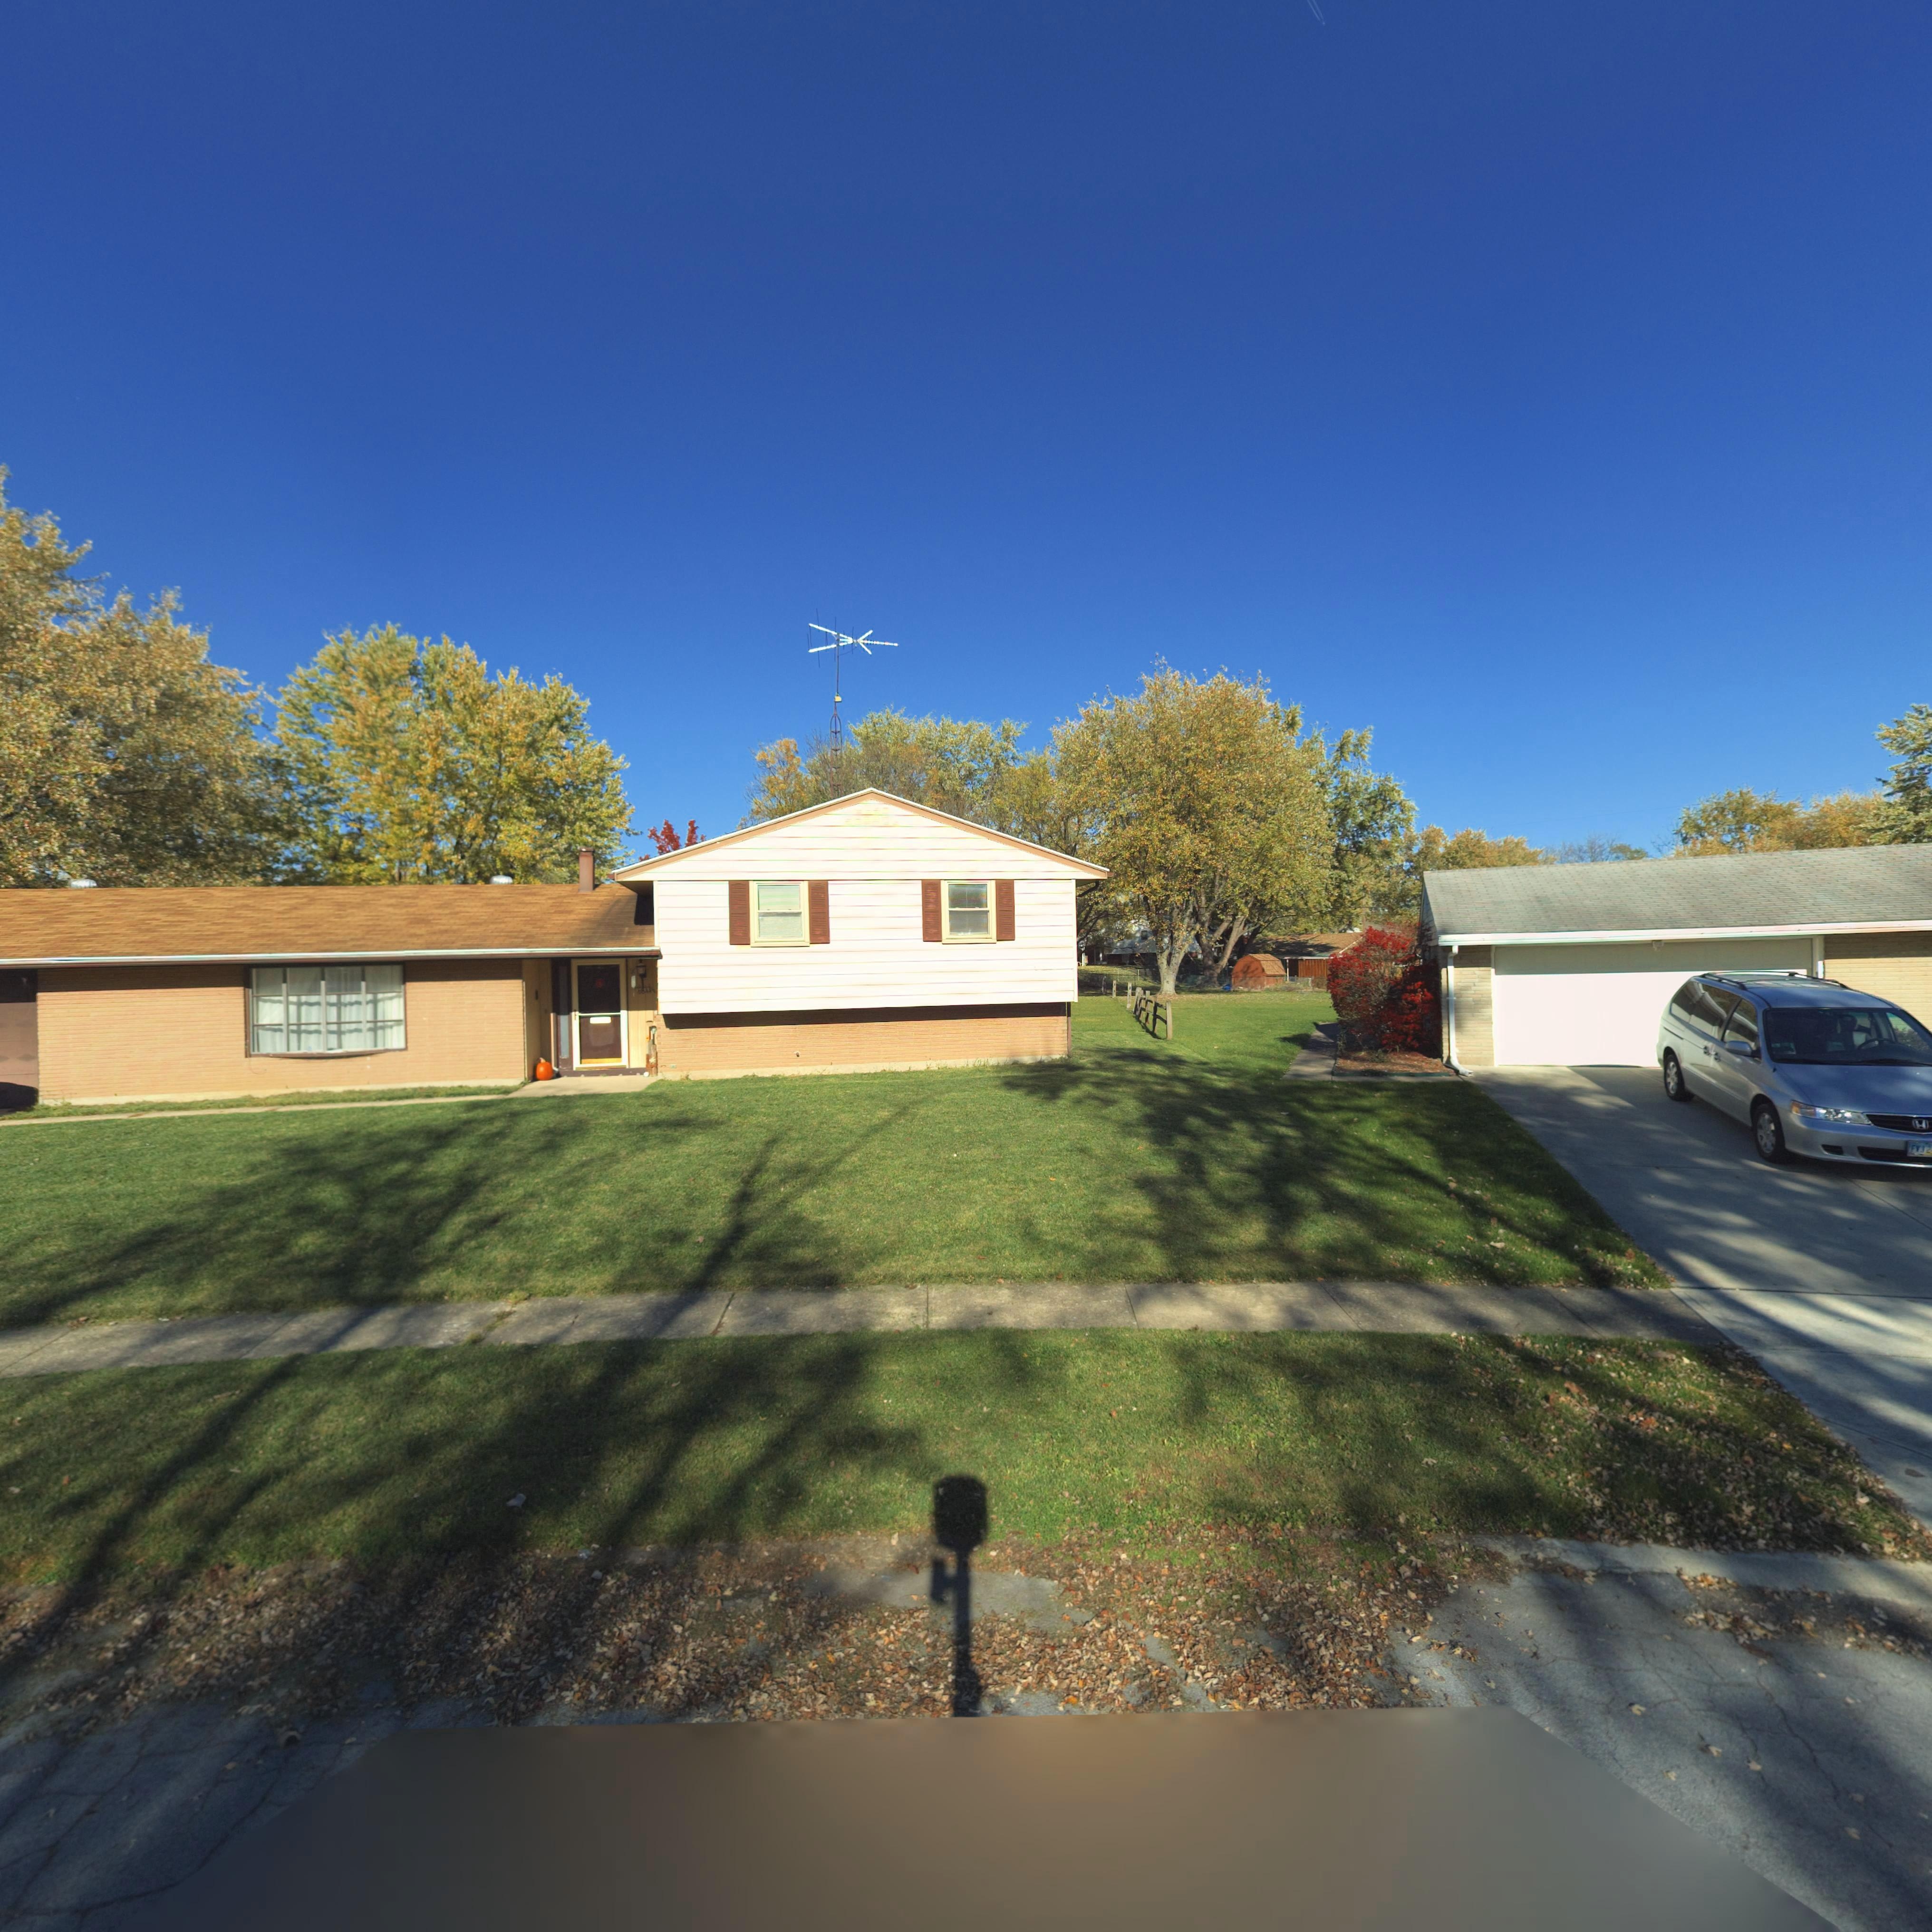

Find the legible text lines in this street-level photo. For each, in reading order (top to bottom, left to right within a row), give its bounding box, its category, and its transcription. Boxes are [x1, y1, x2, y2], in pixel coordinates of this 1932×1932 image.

[636, 987, 652, 993] StreetNumber: 6*44